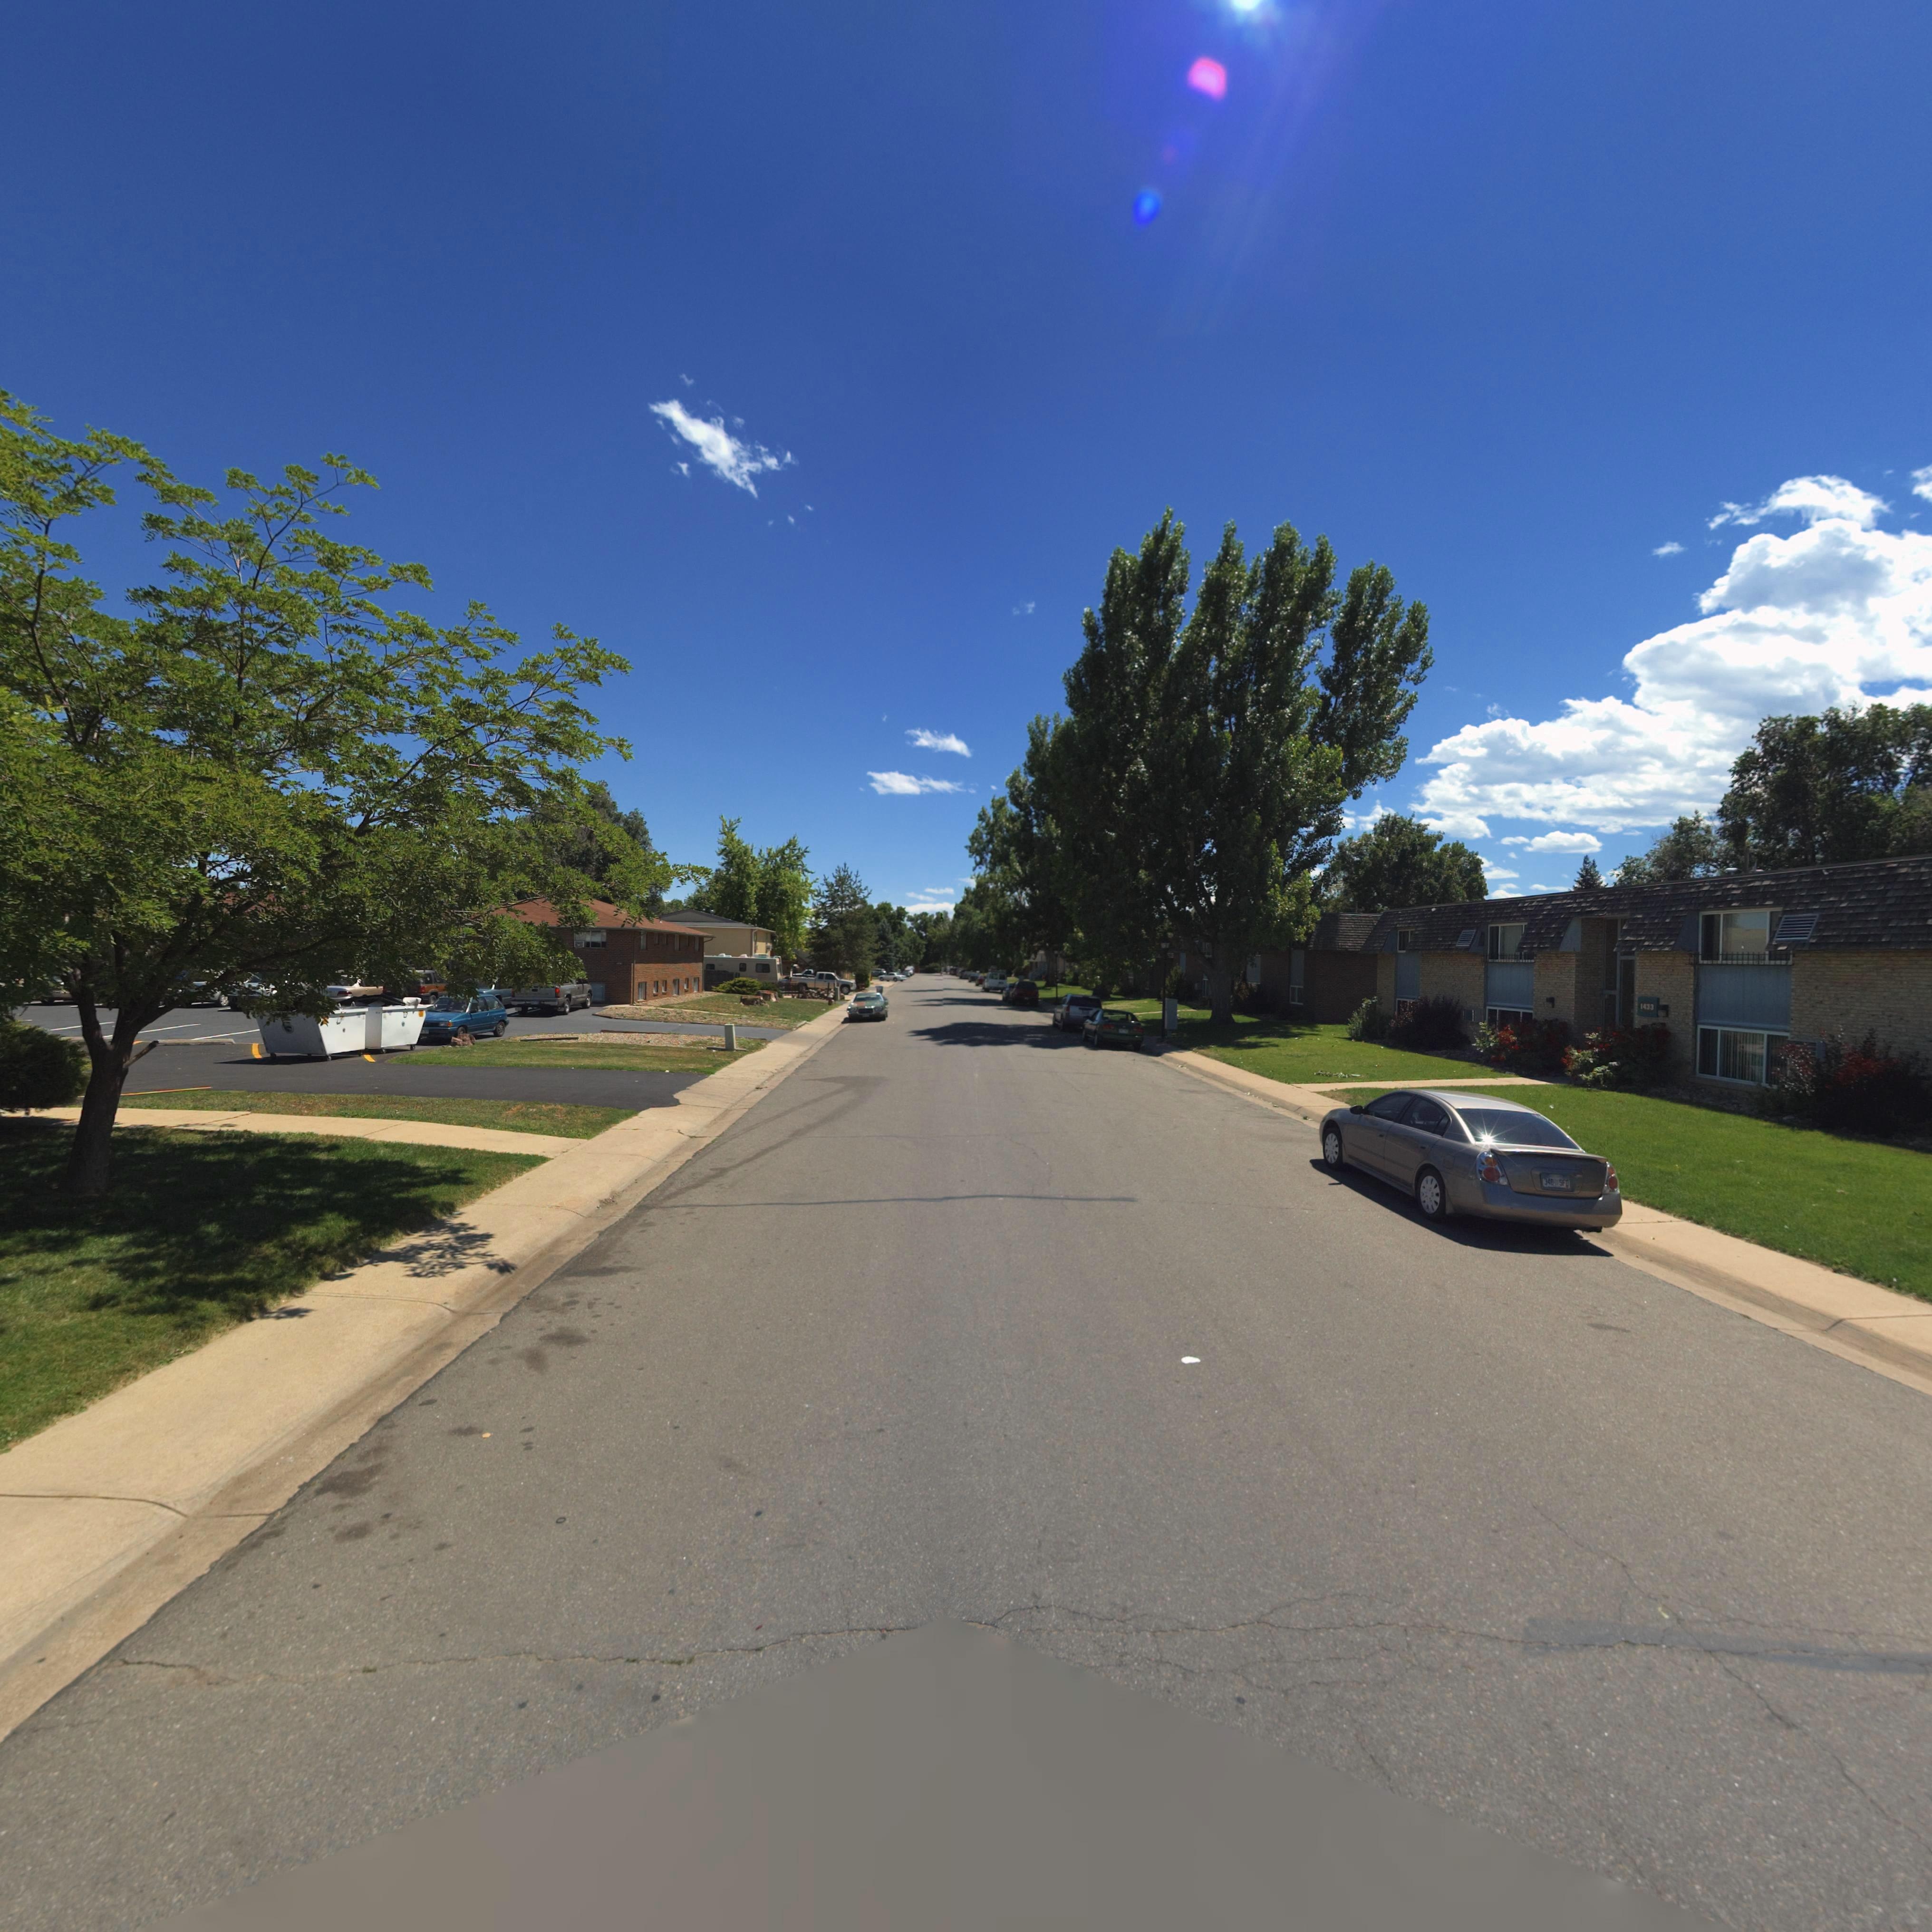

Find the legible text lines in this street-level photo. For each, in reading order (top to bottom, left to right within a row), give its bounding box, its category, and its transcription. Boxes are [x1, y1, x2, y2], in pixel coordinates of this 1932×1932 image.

[1640, 1002, 1654, 1011] StreetNumber: 1433